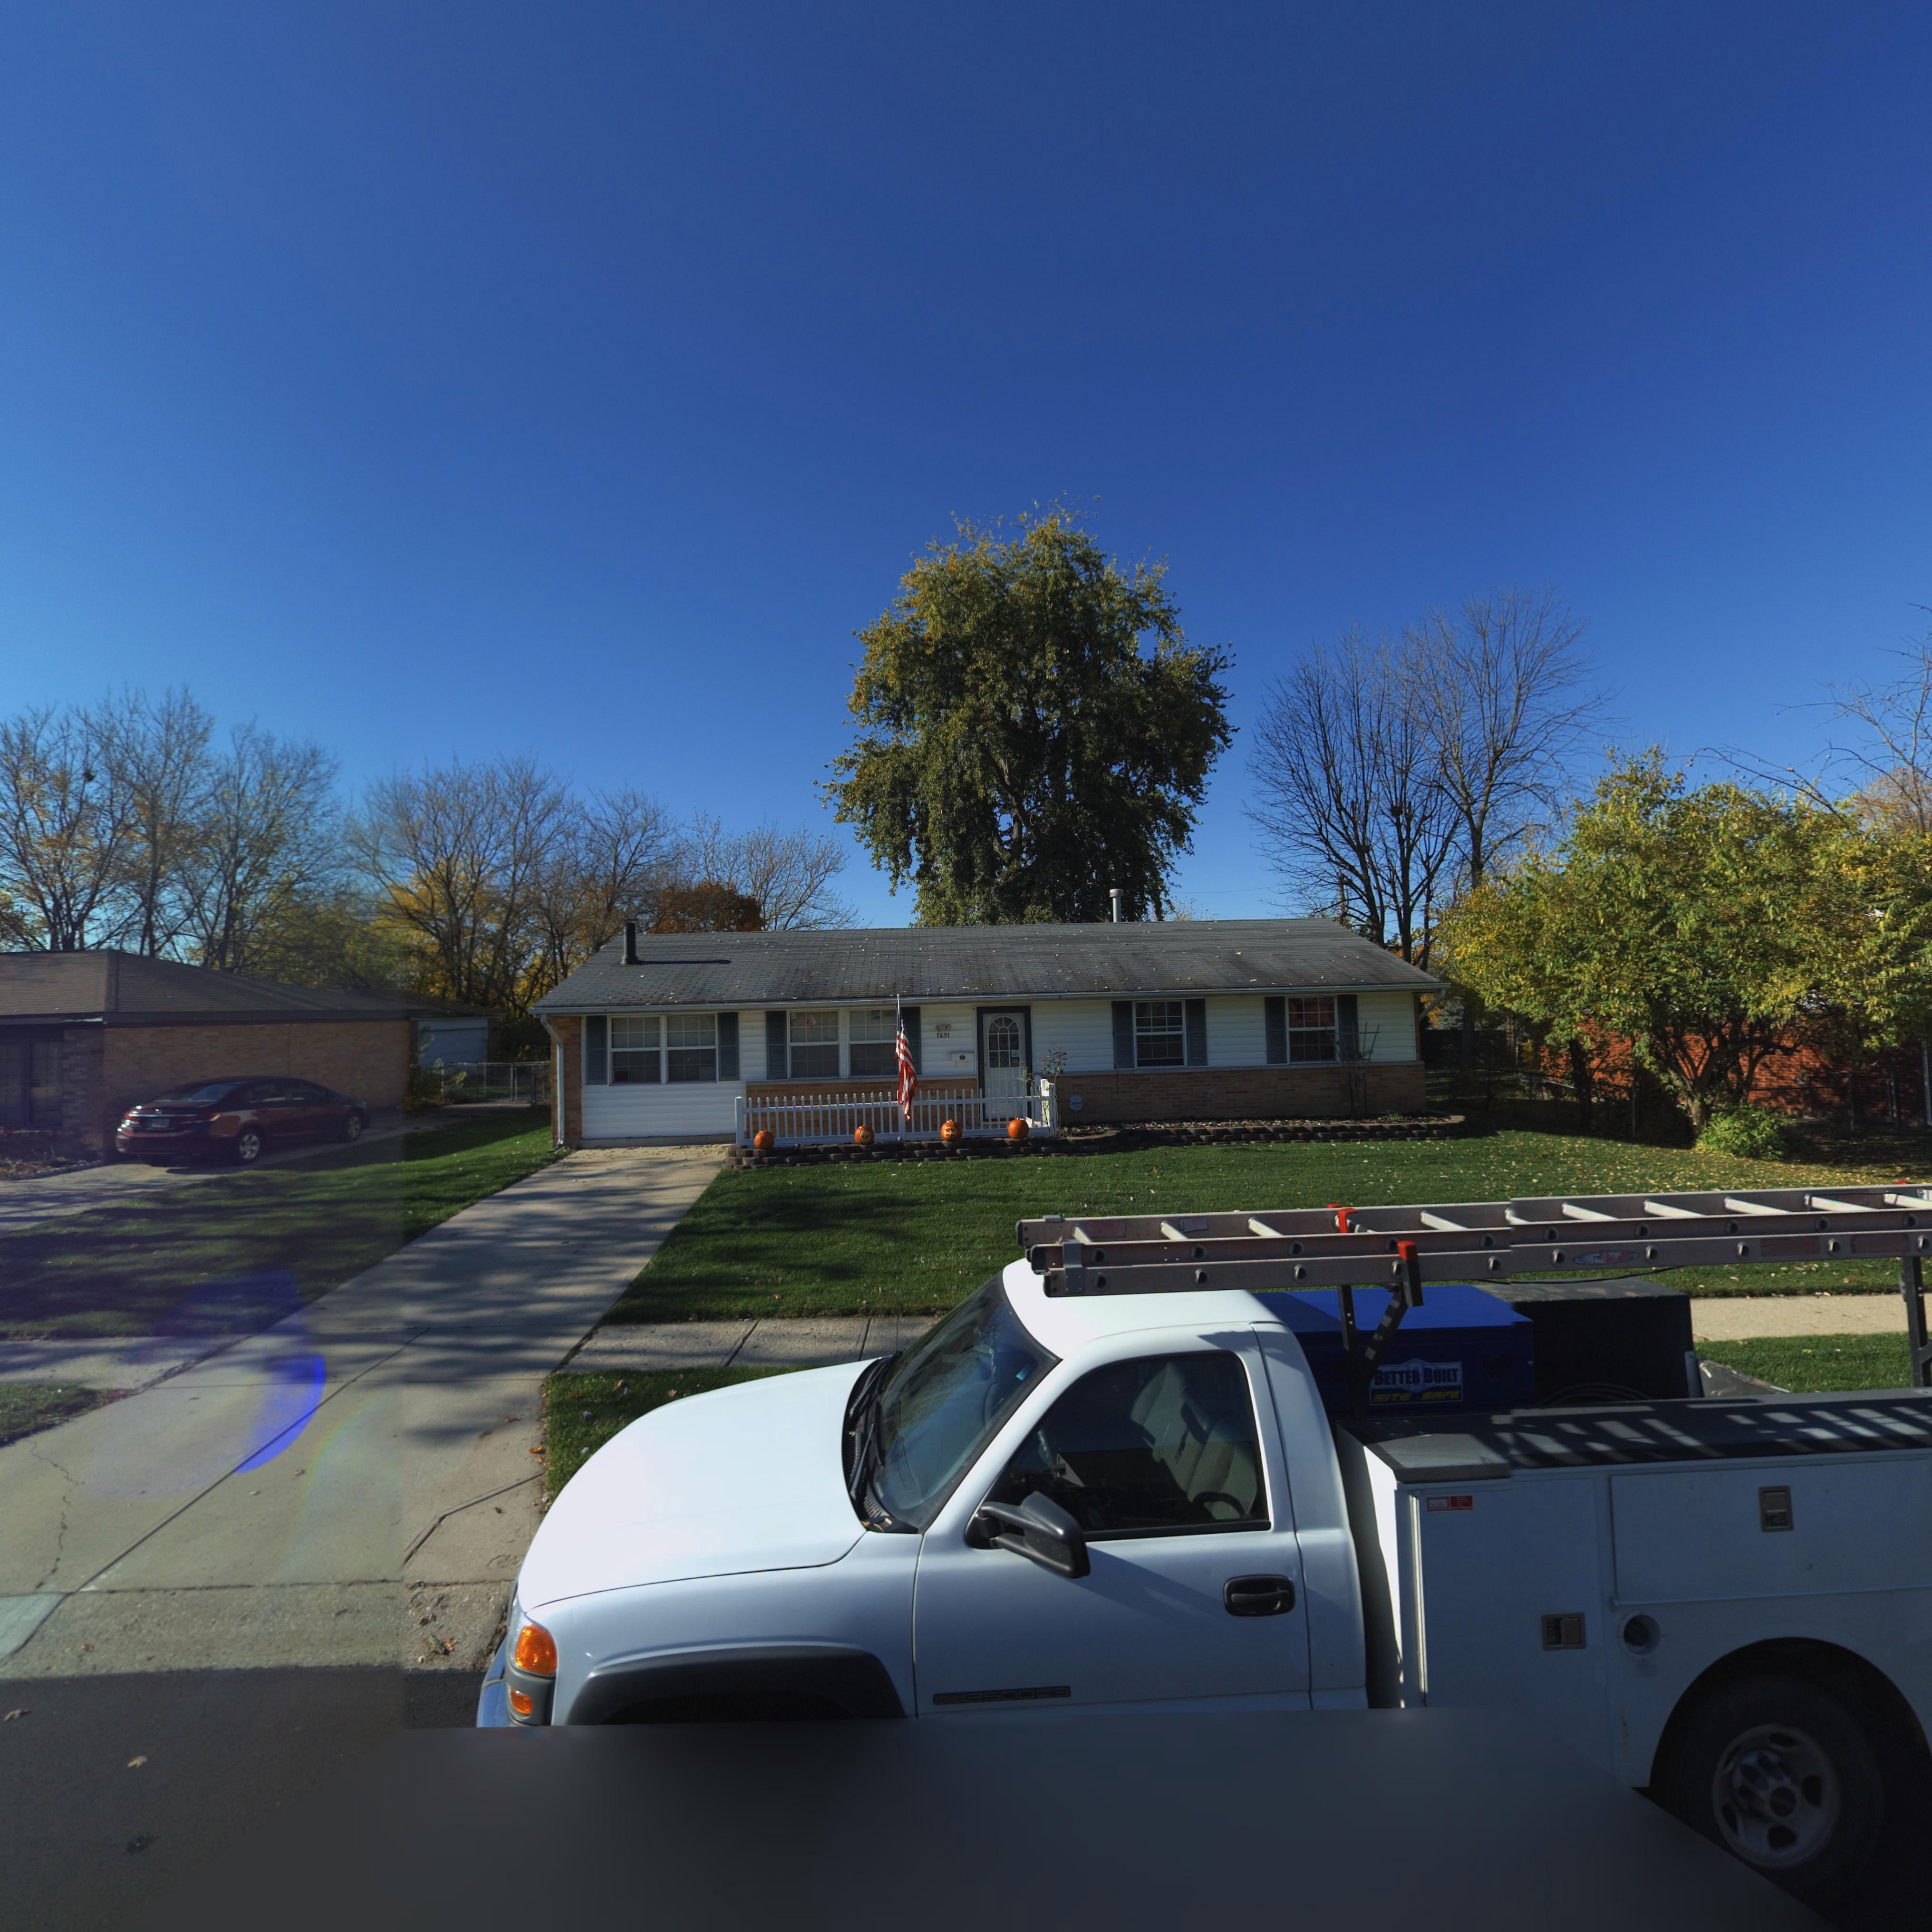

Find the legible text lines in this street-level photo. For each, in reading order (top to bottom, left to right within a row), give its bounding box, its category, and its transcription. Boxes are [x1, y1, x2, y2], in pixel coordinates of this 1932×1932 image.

[935, 1032, 951, 1040] StreetNumber: 76*1